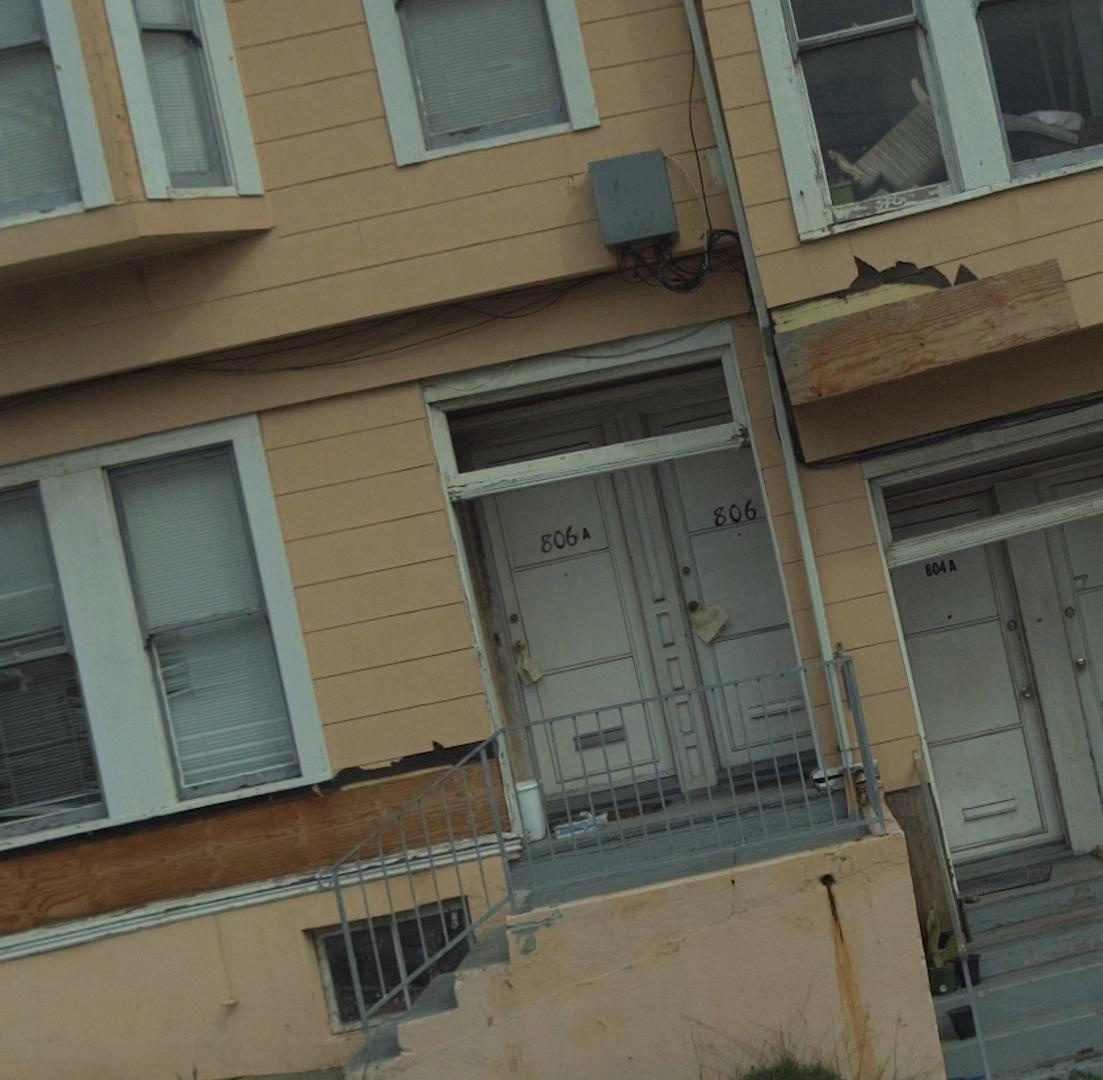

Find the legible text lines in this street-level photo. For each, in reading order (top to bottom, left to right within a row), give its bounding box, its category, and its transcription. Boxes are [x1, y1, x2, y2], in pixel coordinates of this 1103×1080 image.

[710, 496, 760, 529] StreetNumber: 806
[540, 520, 594, 558] StreetNumber: 806A
[924, 558, 959, 579] StreetNumber: 804A